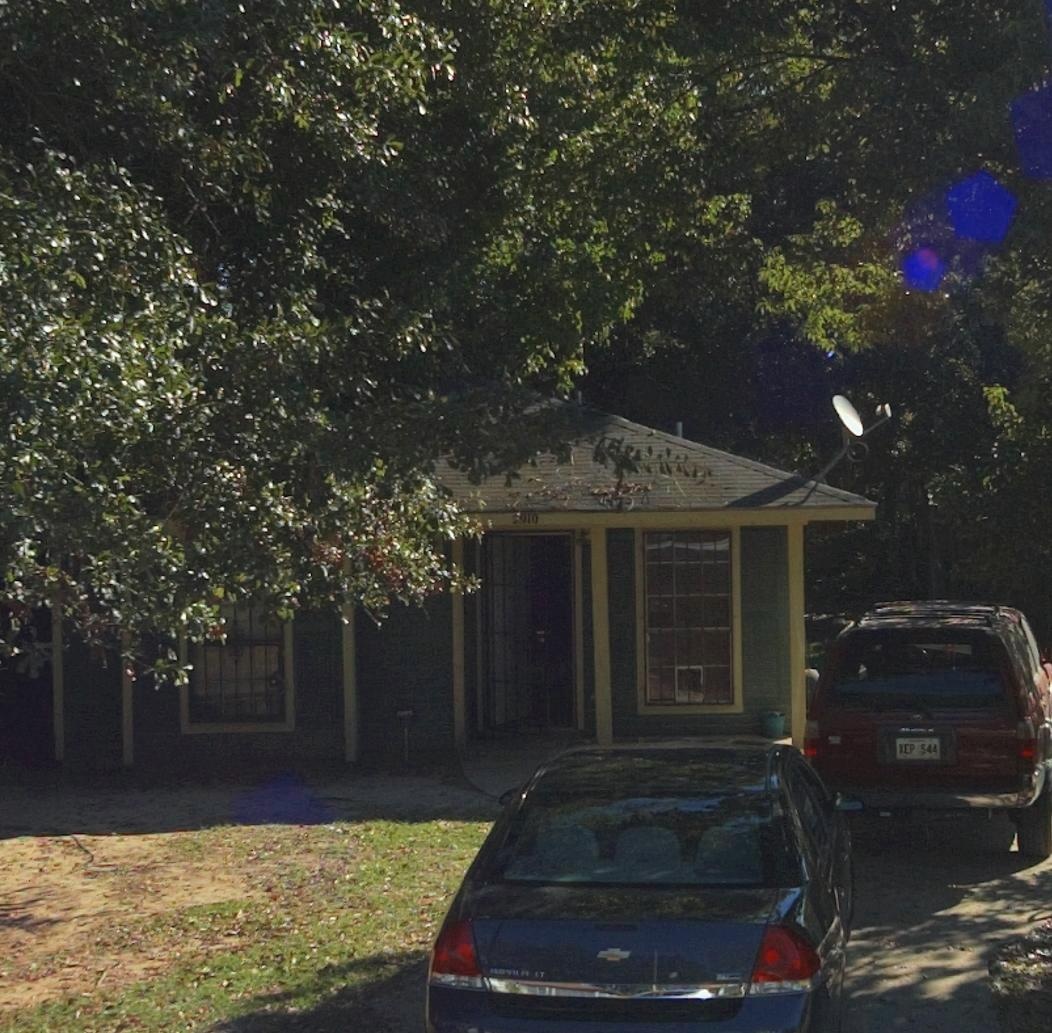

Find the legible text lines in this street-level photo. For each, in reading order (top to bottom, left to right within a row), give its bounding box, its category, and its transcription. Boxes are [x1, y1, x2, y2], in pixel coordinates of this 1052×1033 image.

[509, 511, 541, 526] StreetNumber: 2910
[896, 742, 941, 756] None: XEP 544